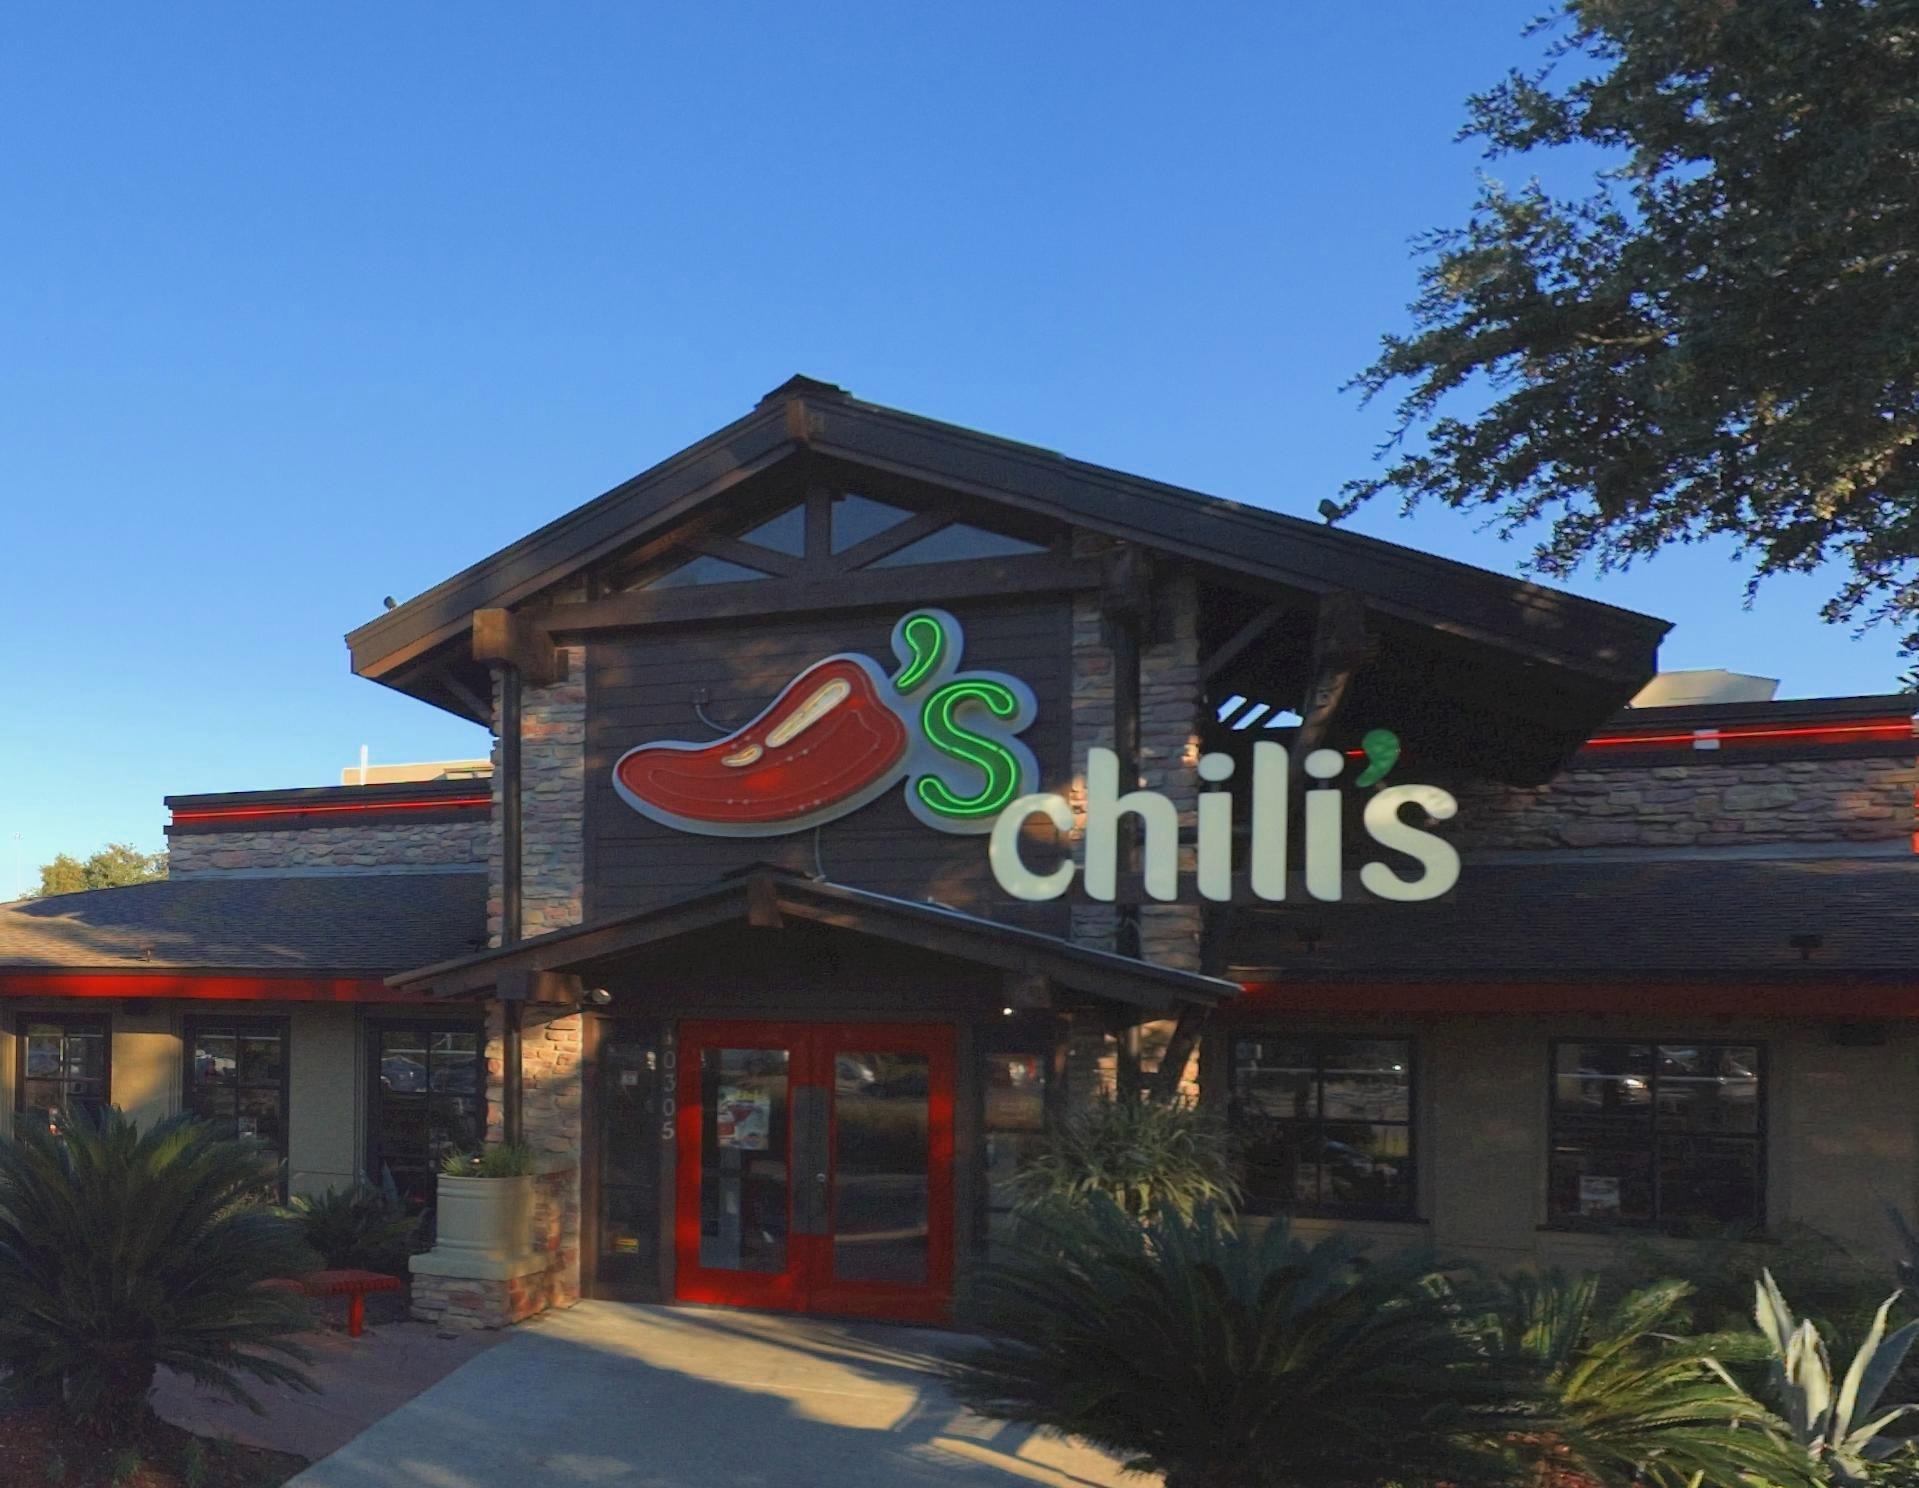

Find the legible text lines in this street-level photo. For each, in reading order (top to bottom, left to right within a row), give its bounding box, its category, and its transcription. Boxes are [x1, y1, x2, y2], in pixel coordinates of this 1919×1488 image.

[986, 727, 1465, 905] BusinessName: chili's
[661, 1024, 678, 1142] StreetNumber: 10305